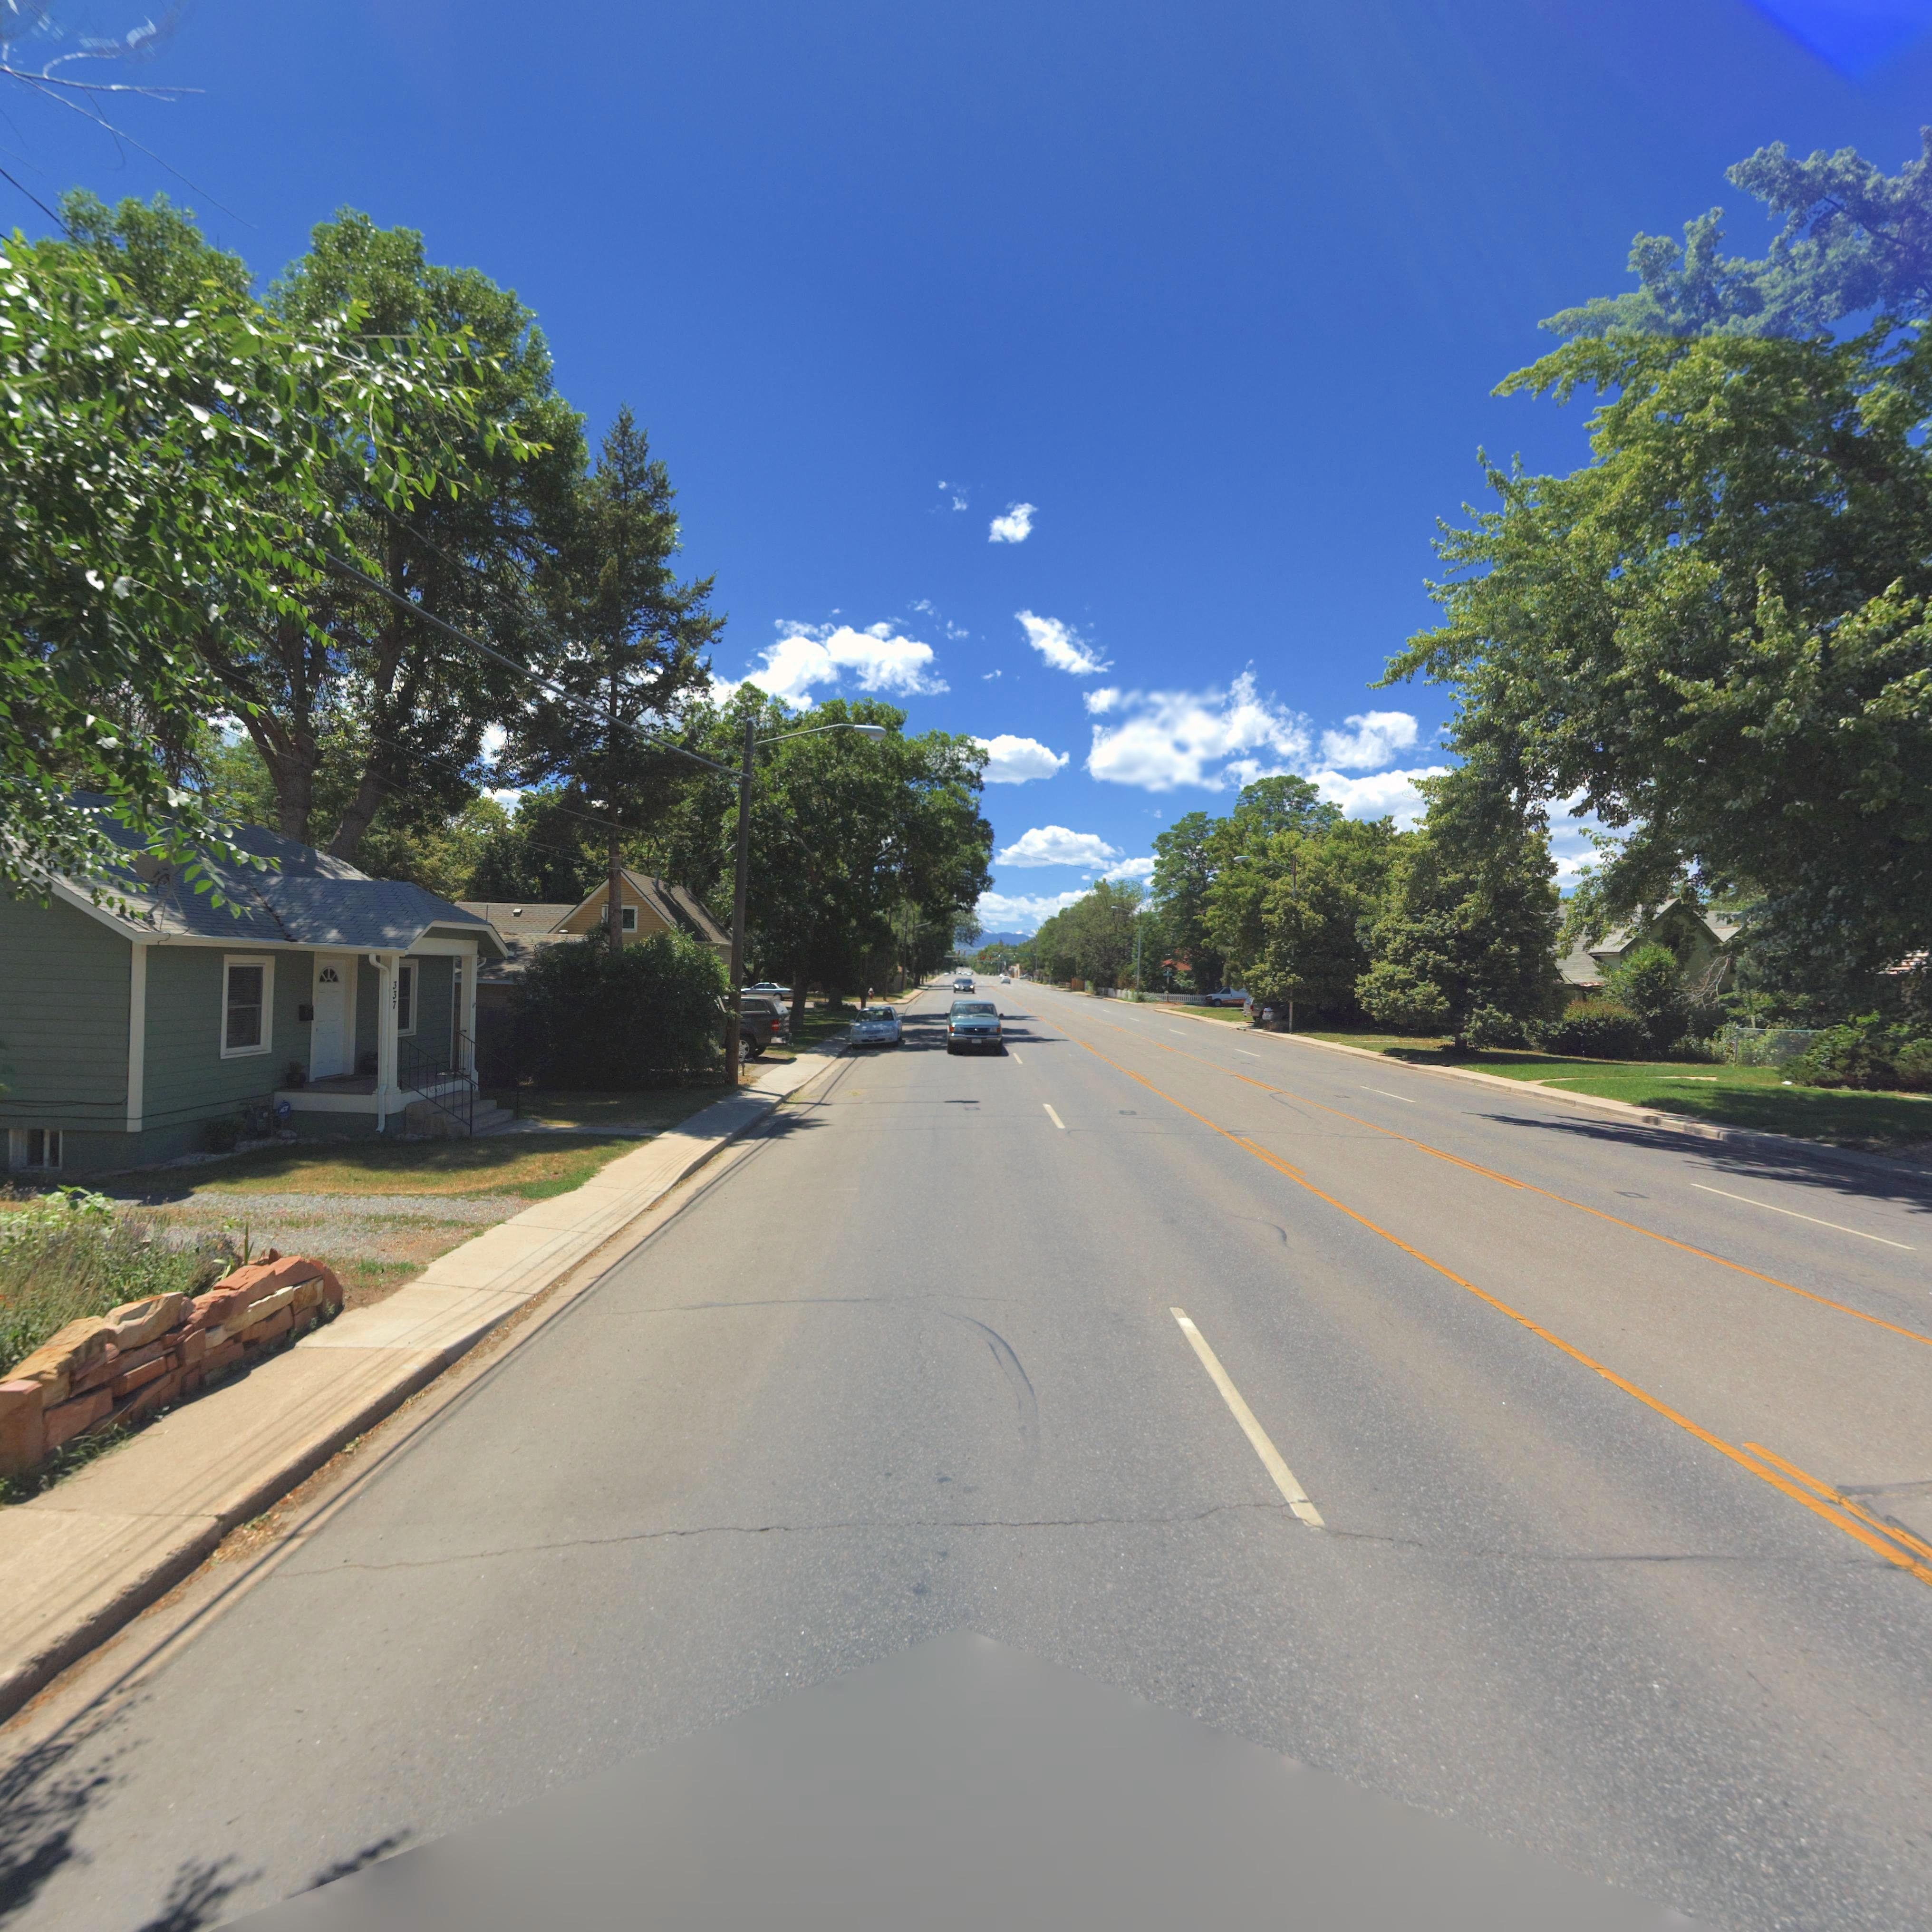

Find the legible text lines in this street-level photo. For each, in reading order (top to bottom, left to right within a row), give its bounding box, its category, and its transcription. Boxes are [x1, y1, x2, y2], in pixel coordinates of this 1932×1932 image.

[392, 980, 397, 1009] StreetNumber: 337